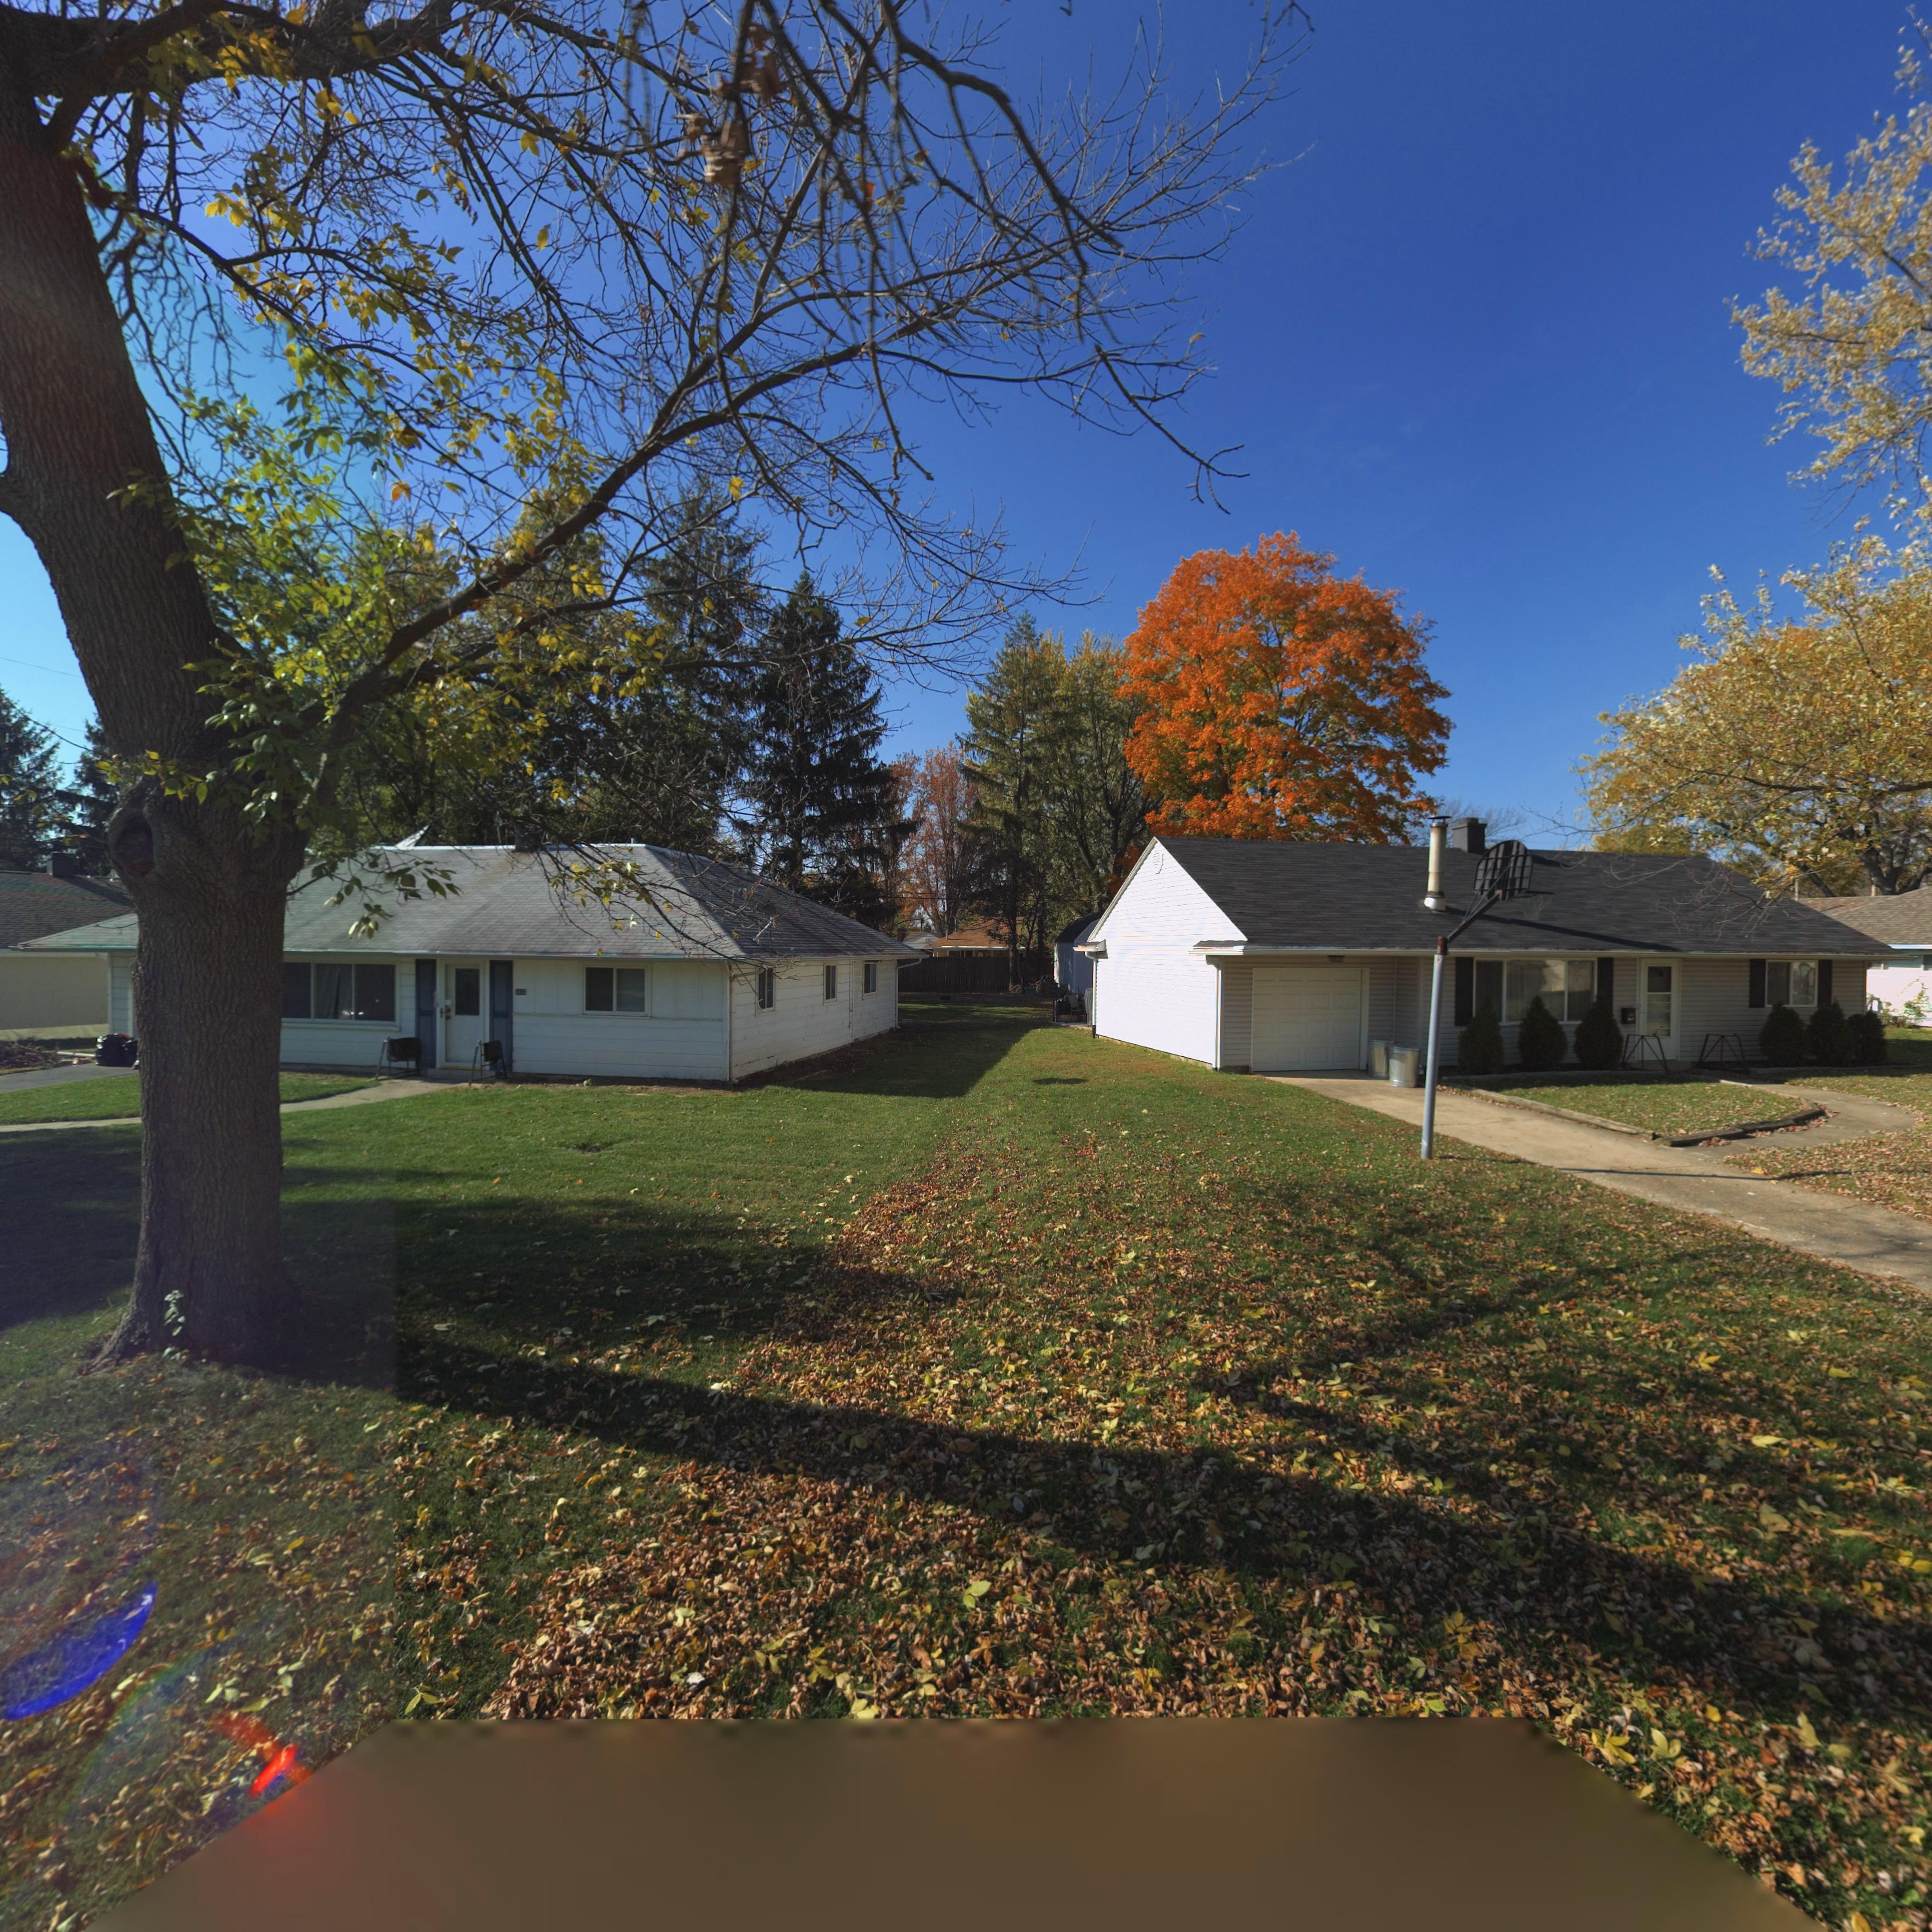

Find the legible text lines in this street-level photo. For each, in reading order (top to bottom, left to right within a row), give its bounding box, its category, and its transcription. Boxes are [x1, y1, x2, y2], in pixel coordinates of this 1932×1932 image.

[515, 989, 525, 994] StreetNumber: 3833